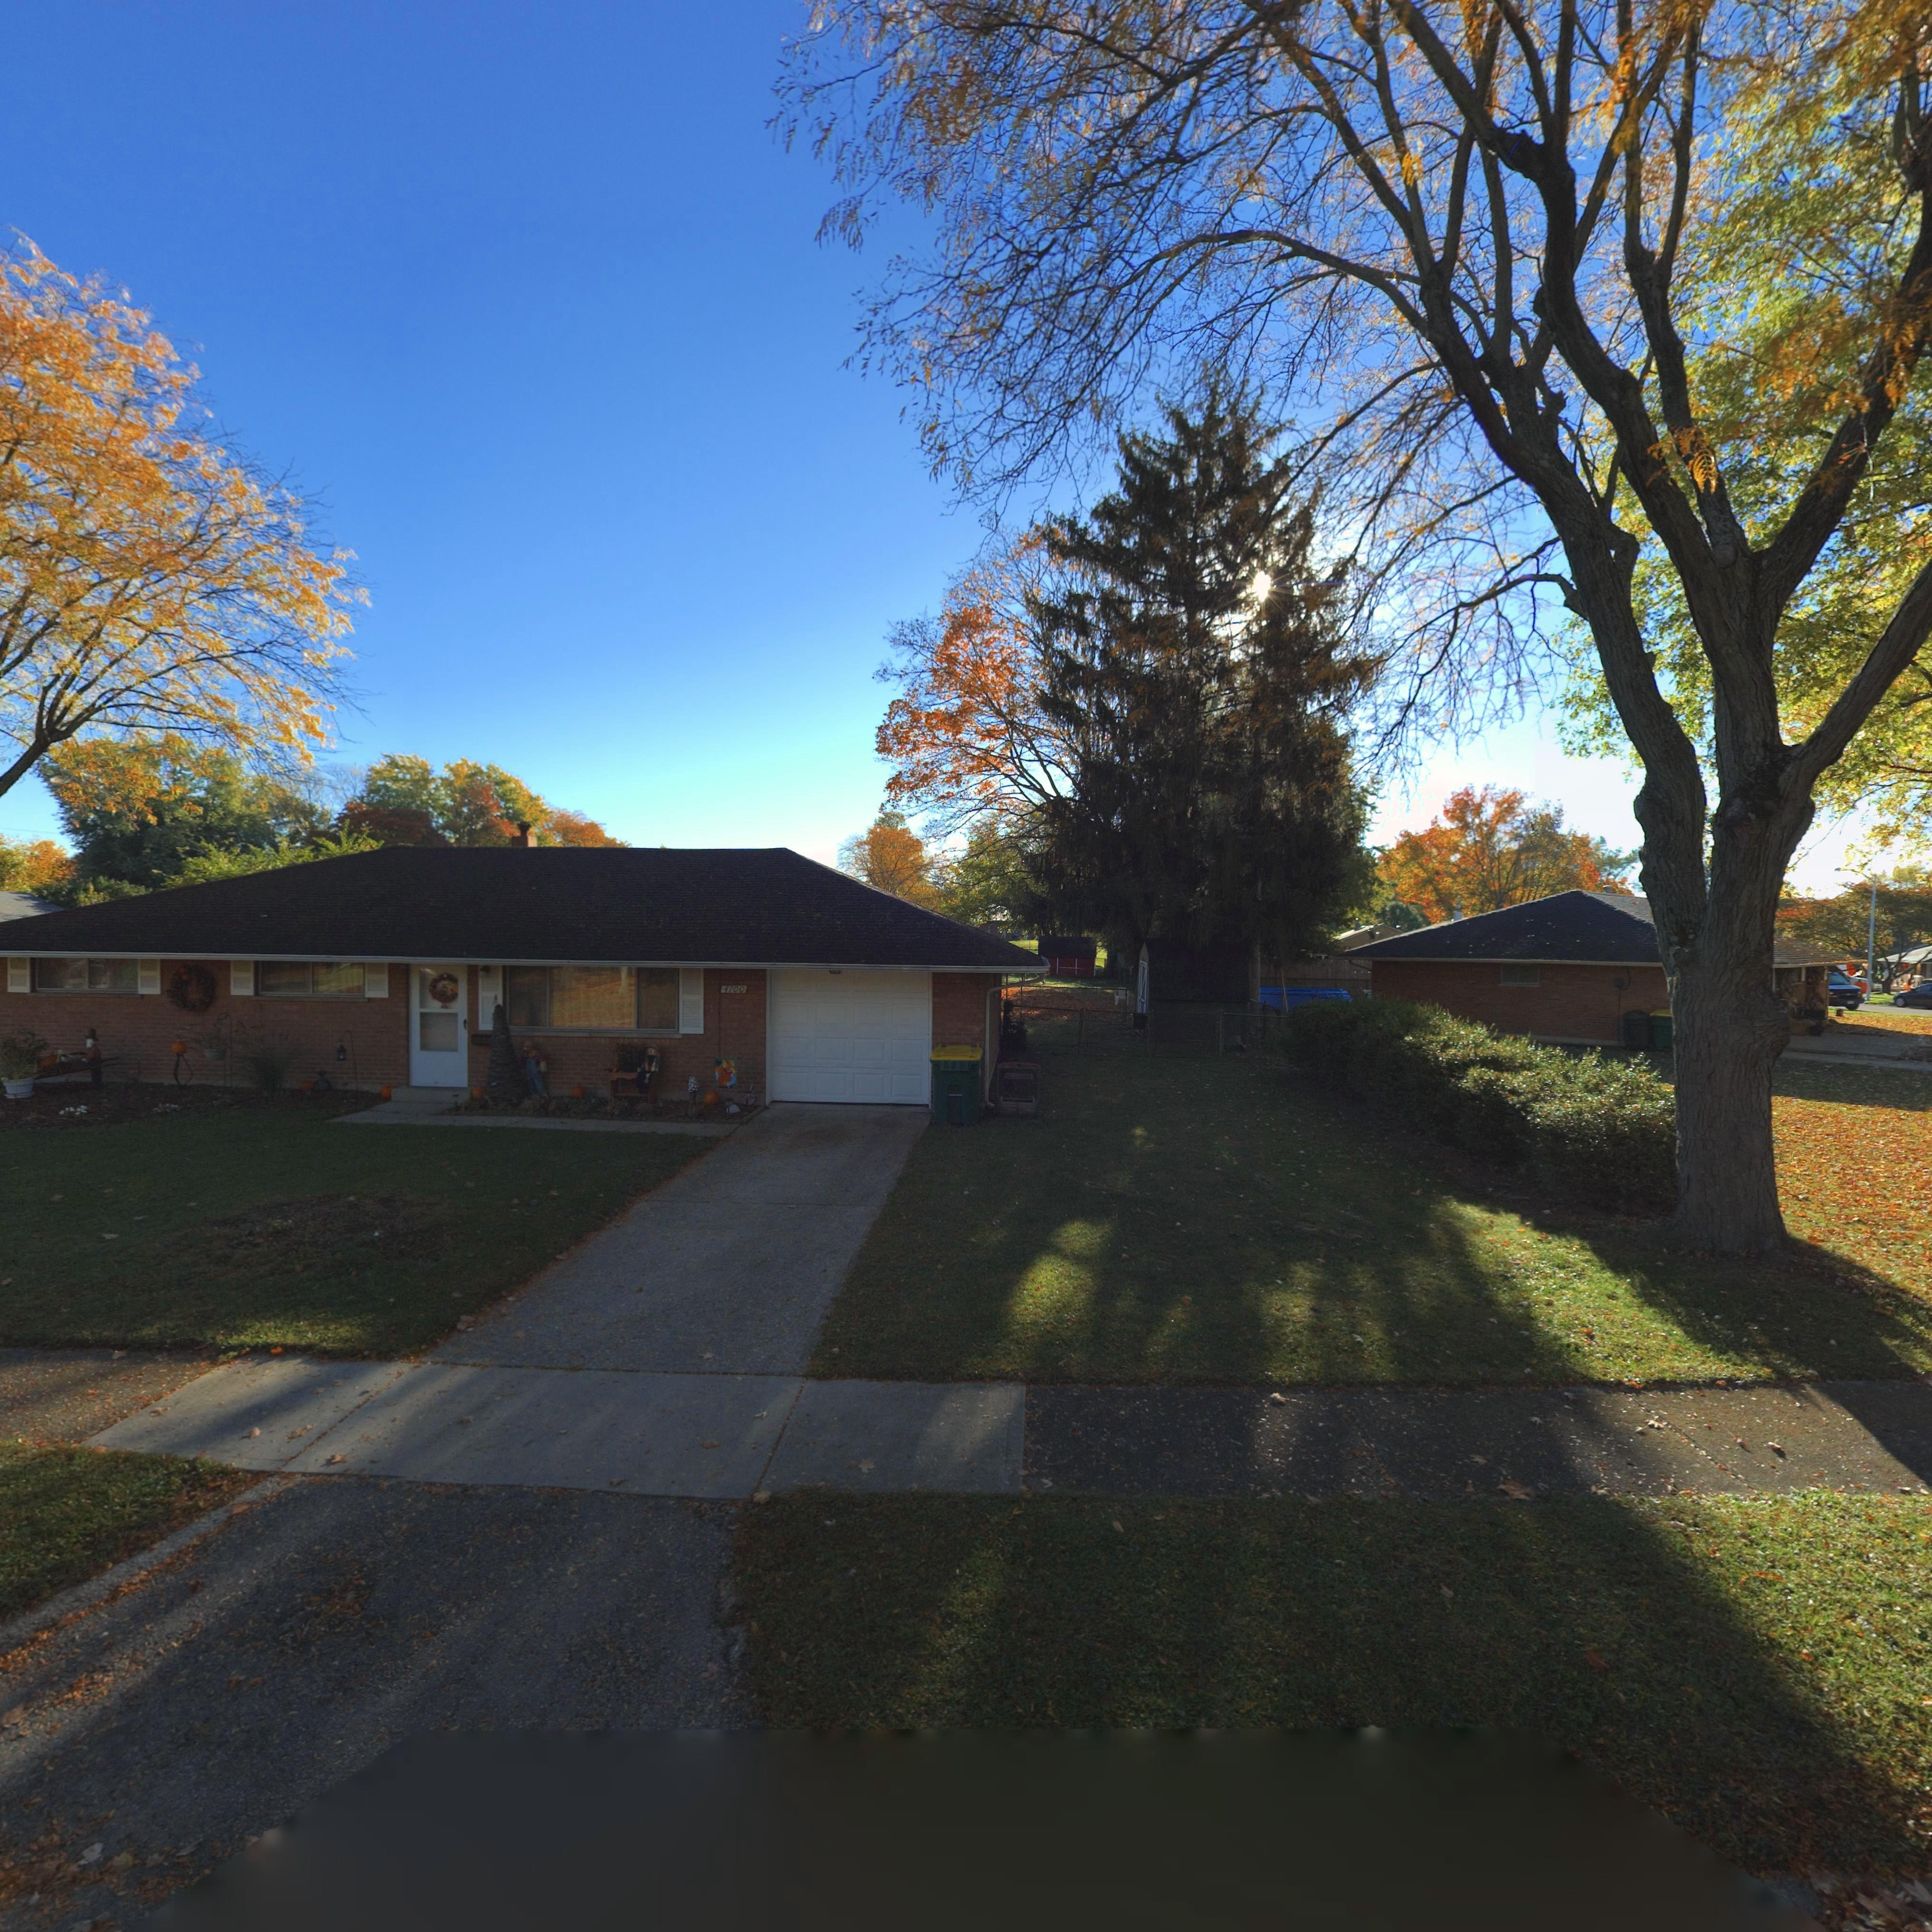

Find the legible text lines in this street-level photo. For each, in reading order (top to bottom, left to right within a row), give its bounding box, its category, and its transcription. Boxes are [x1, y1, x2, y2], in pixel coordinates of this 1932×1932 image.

[723, 985, 745, 994] StreetNumber: 4700